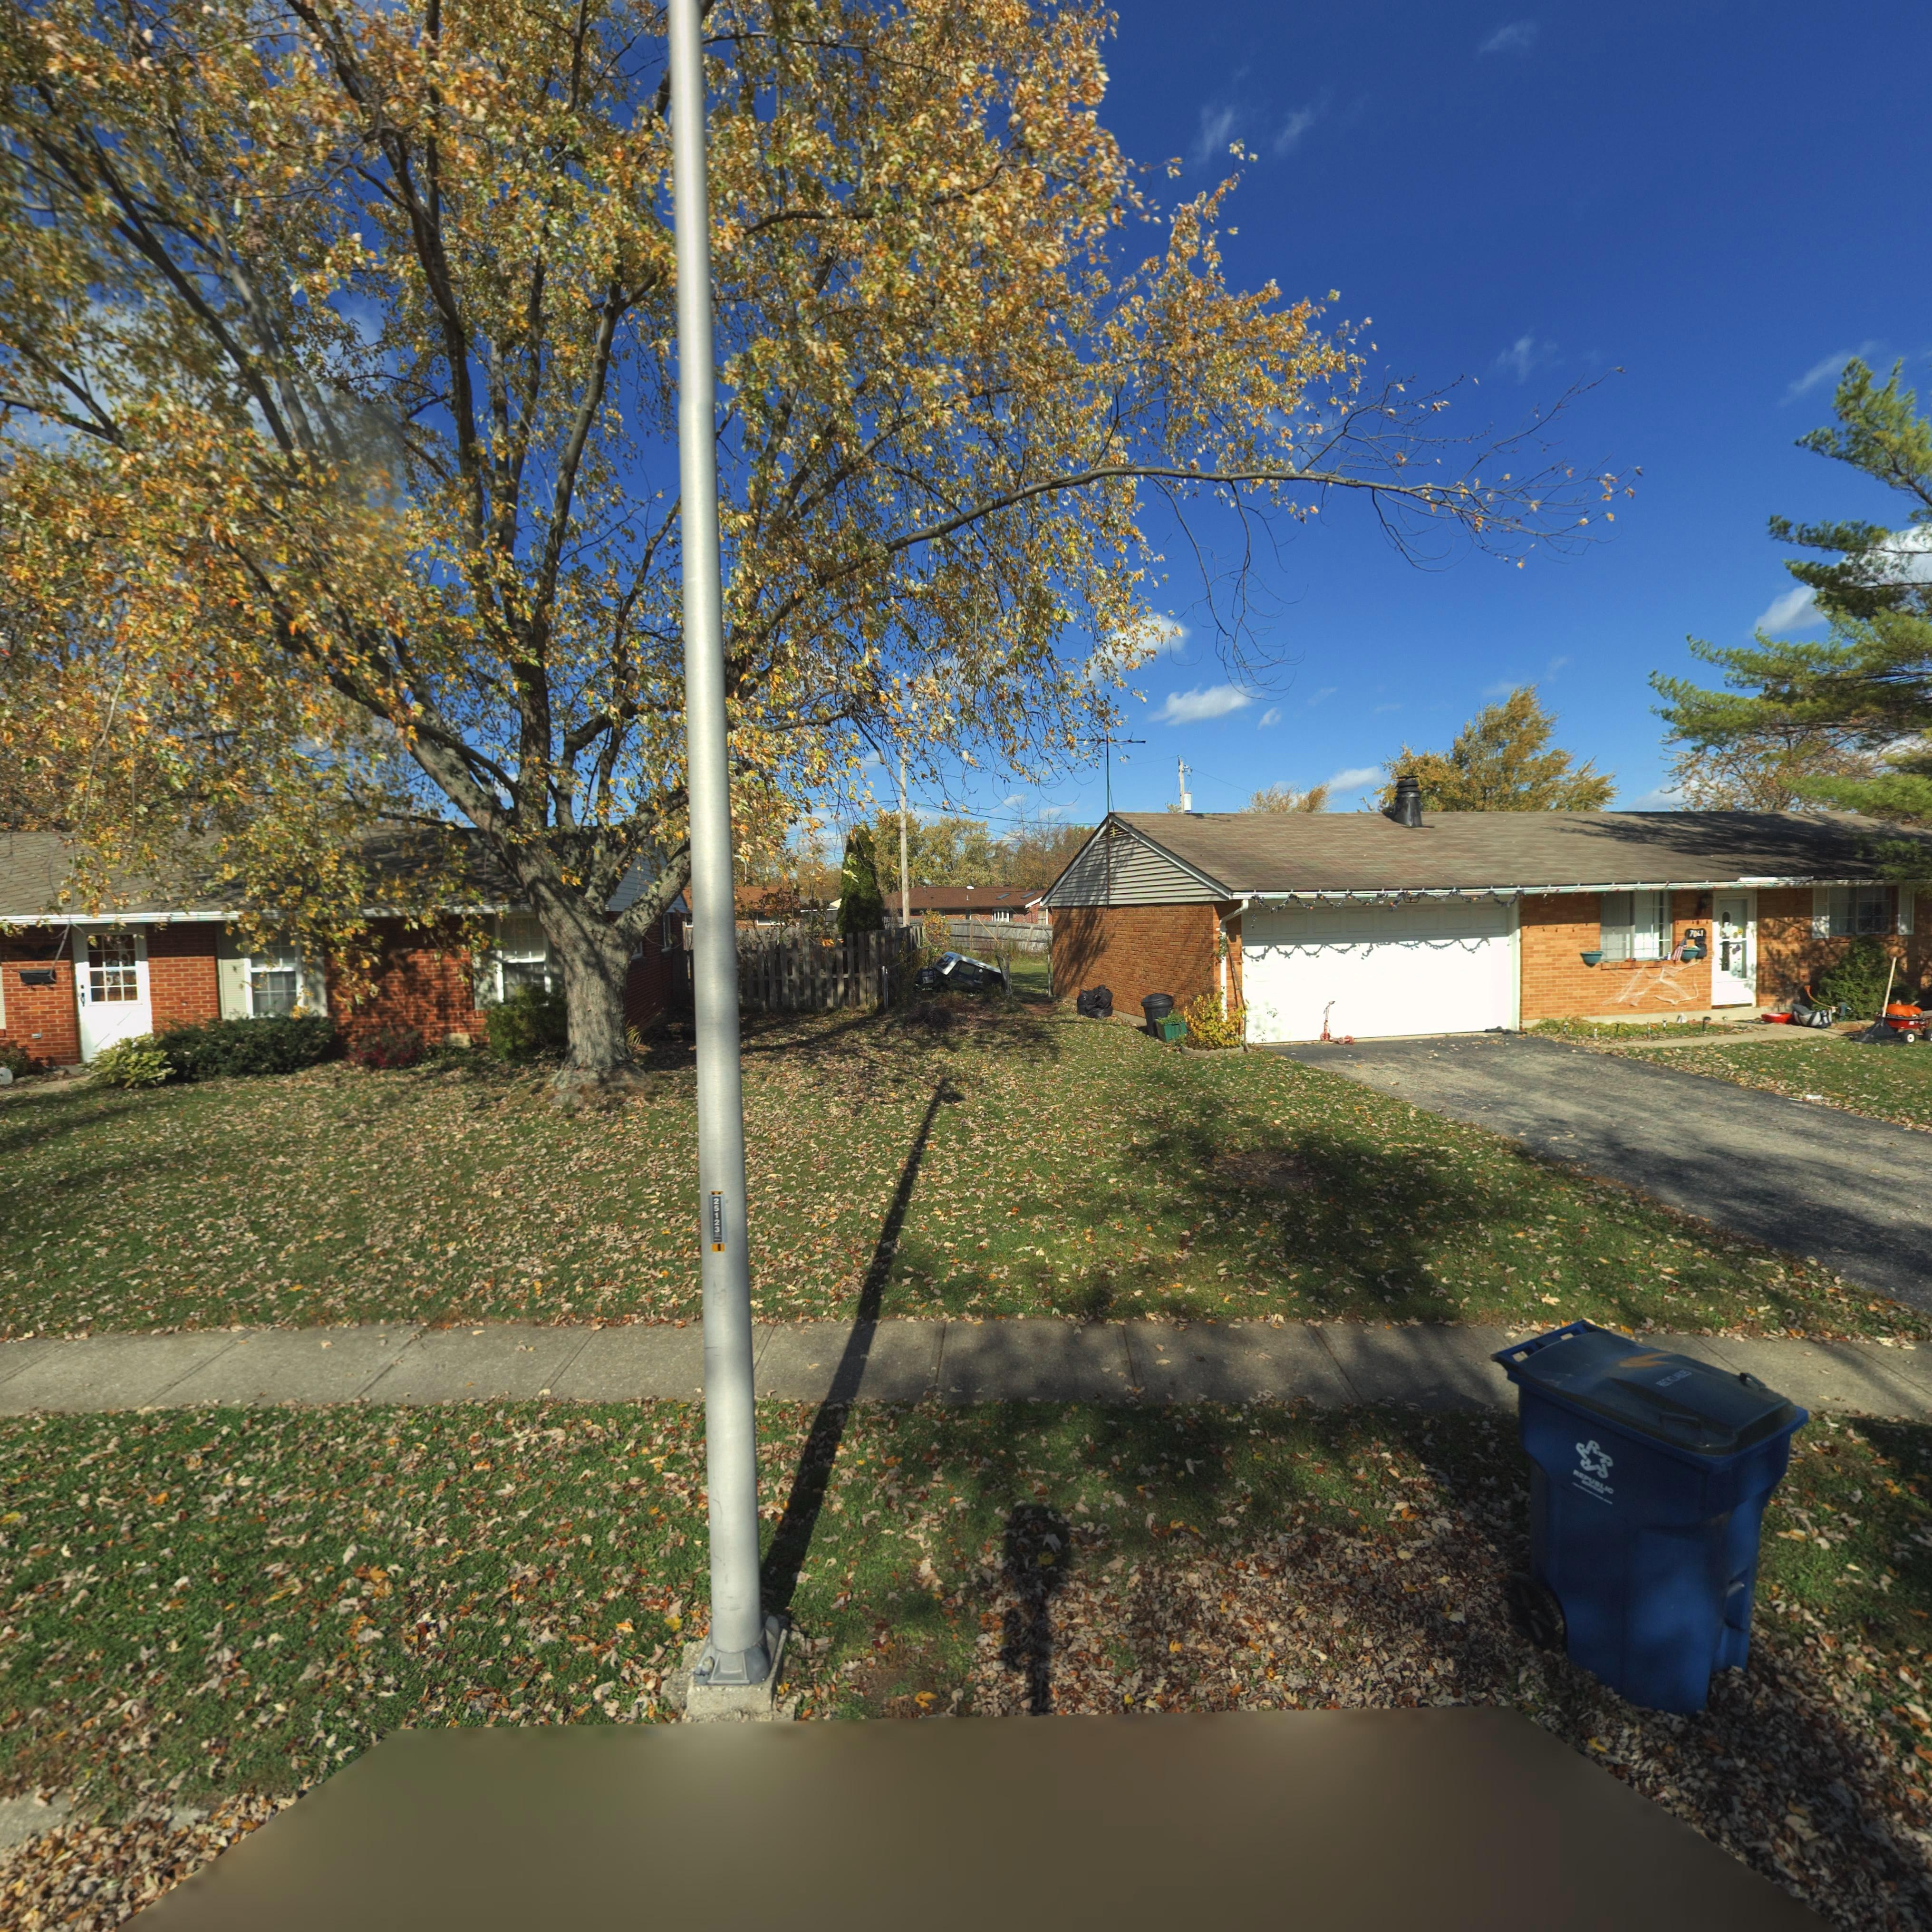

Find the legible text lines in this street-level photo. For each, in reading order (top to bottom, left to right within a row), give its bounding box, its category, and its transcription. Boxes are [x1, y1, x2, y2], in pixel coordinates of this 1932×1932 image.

[1688, 928, 1705, 939] StreetNumber: 70**